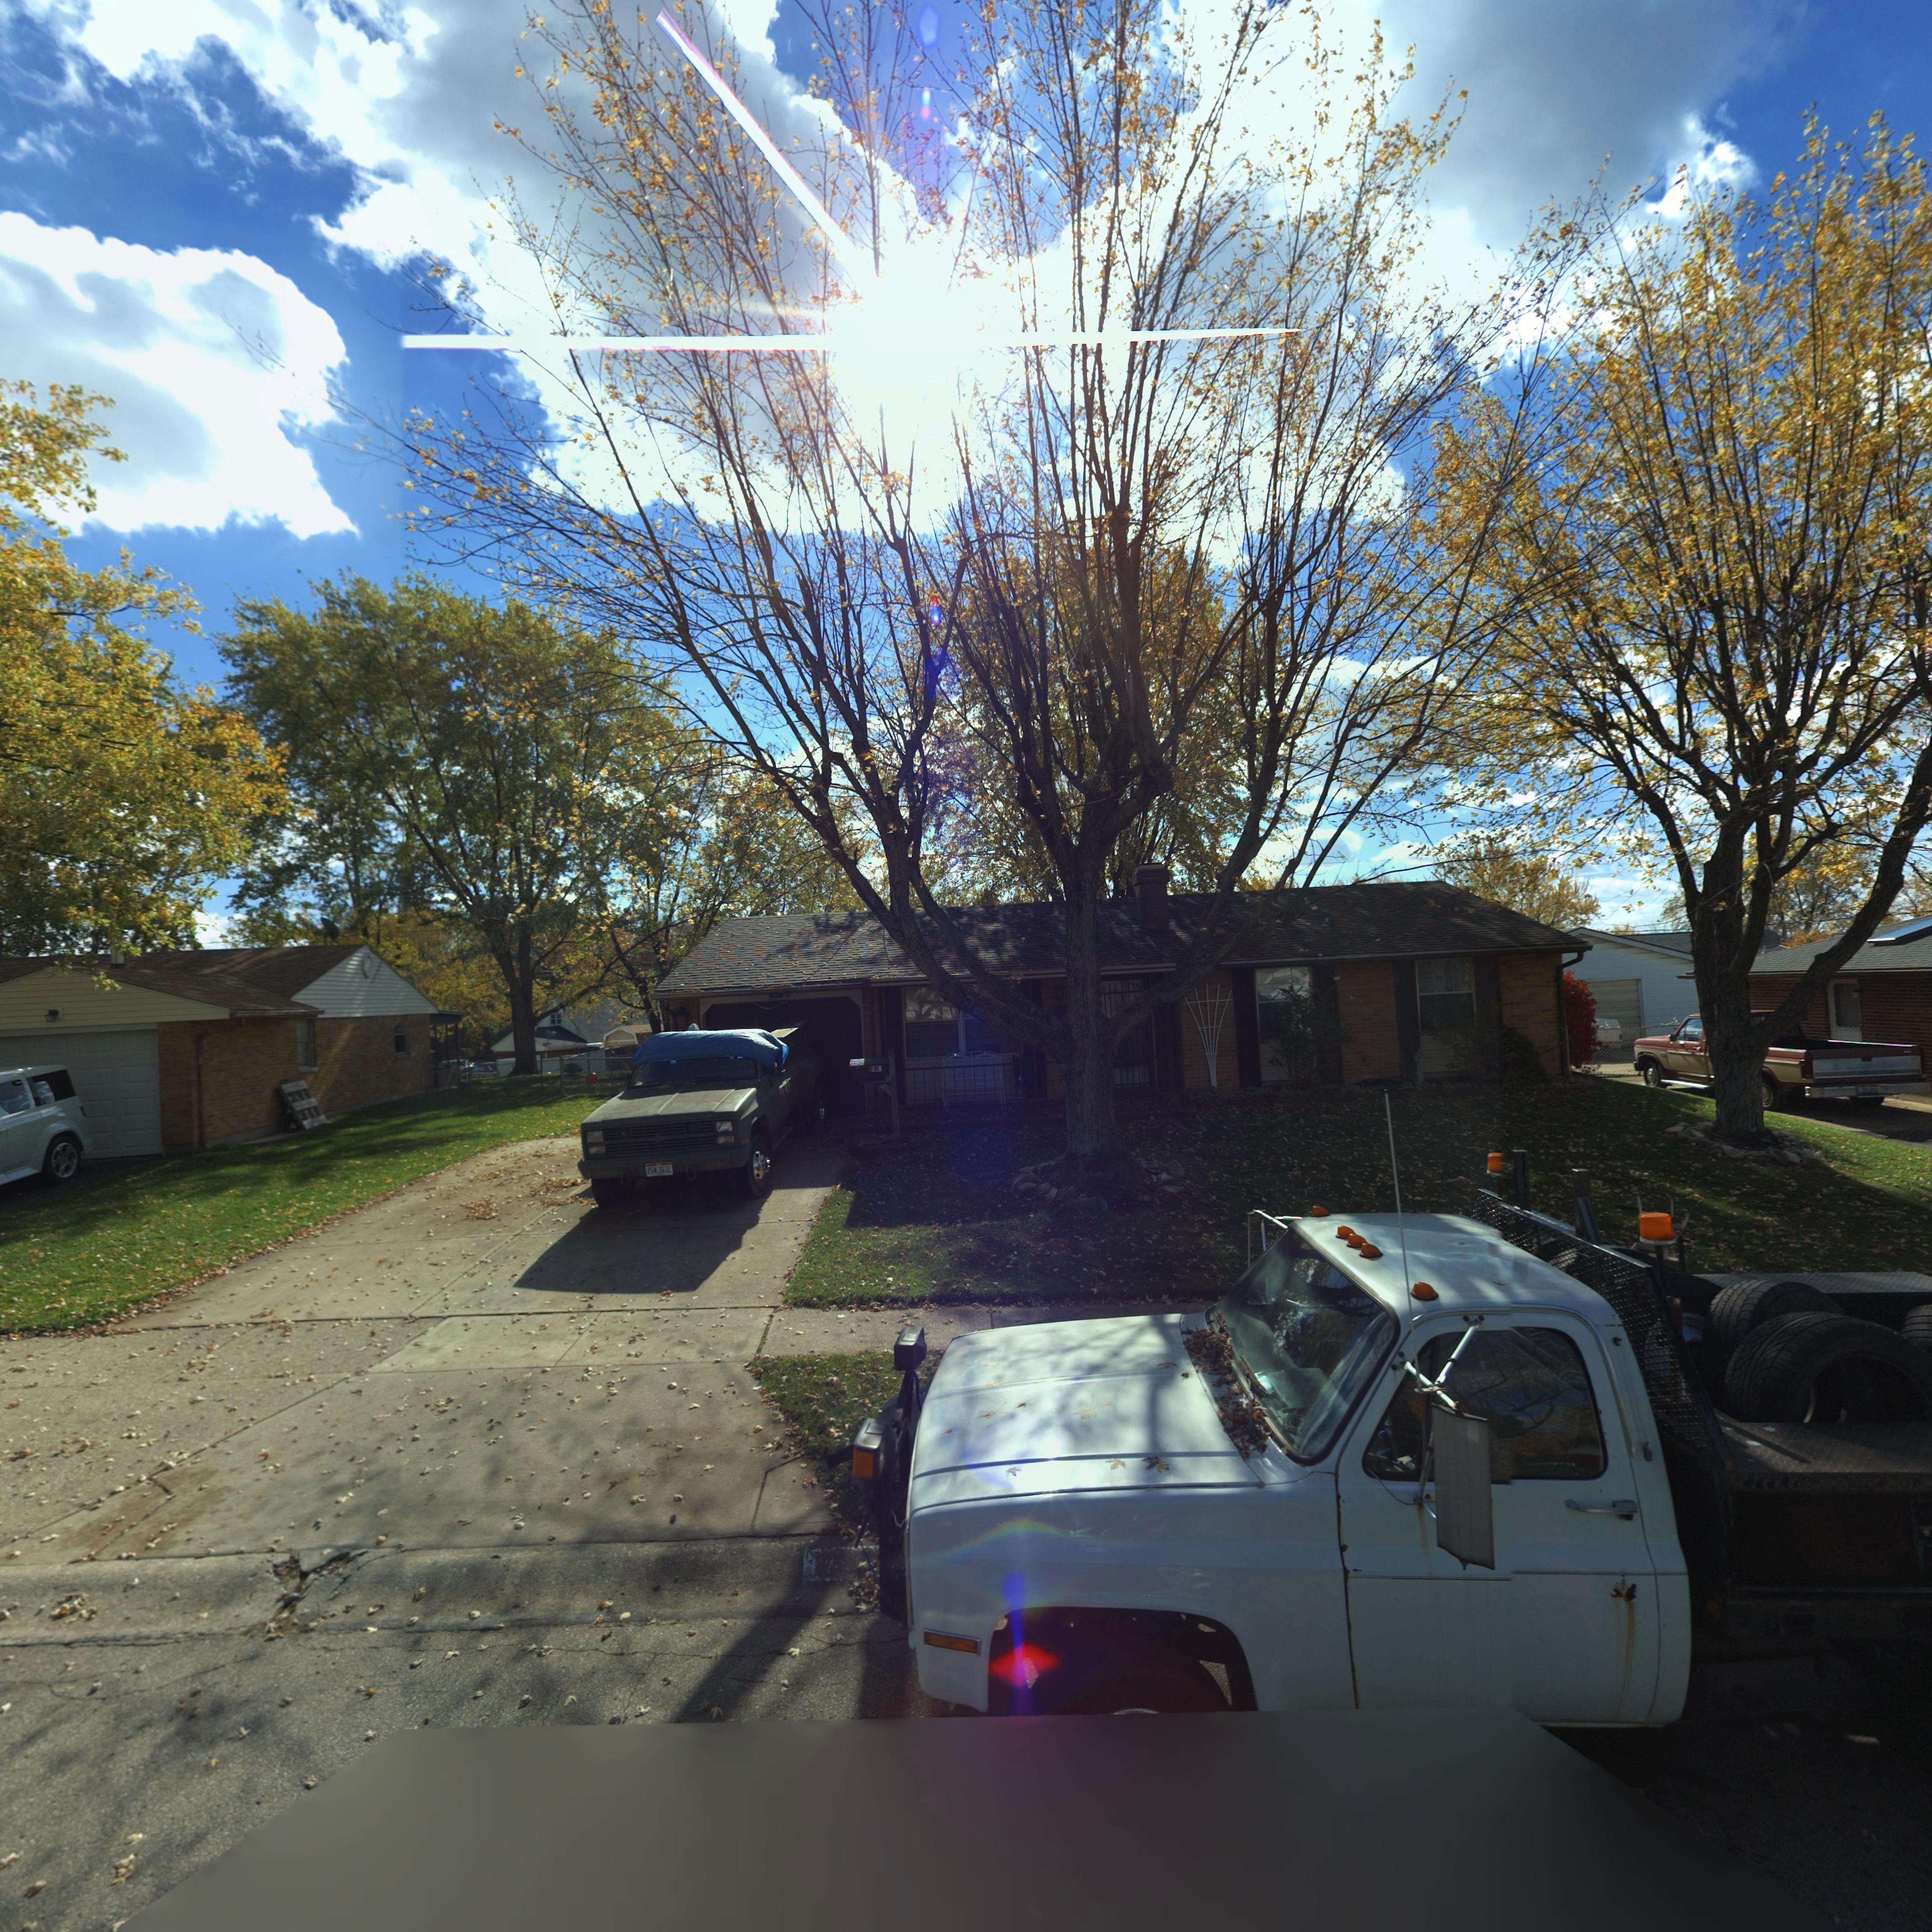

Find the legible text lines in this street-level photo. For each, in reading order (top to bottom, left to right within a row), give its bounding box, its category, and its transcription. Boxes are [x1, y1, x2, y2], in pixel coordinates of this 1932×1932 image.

[768, 993, 790, 1001] StreetNumber: 7***